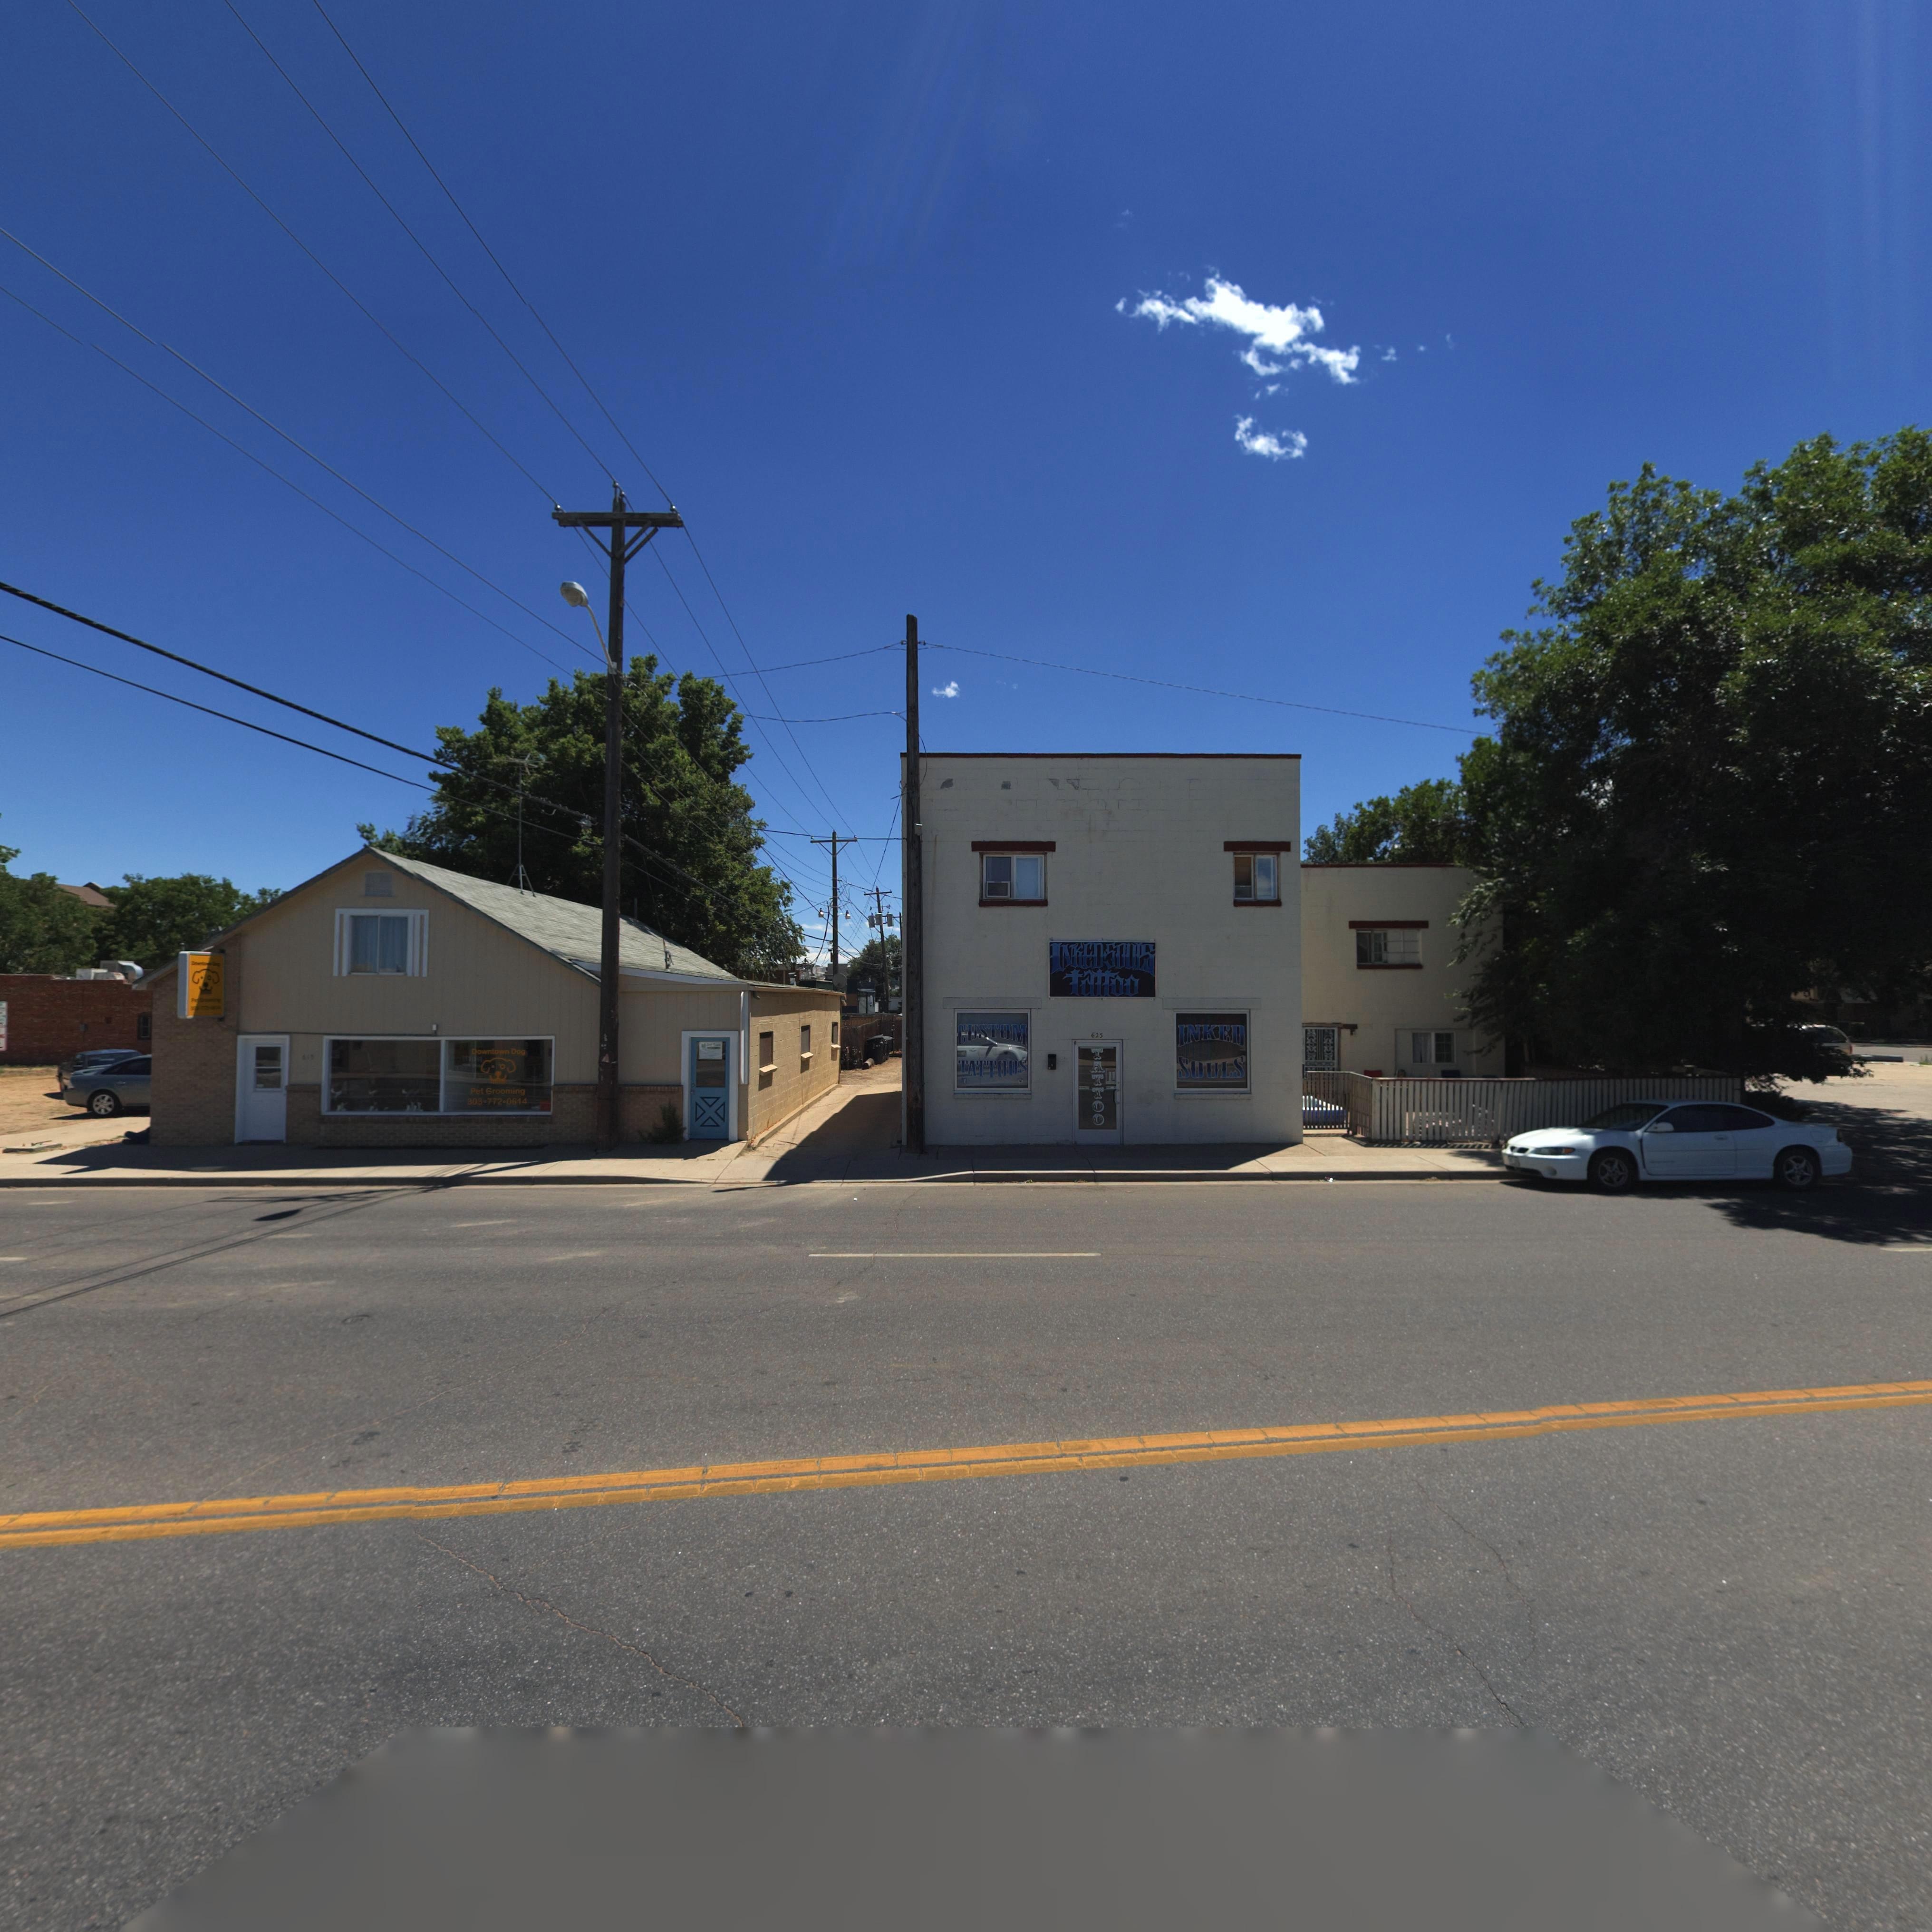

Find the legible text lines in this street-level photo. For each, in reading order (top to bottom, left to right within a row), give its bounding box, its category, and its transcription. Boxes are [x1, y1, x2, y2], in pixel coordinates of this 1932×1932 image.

[191, 960, 220, 967] BusinessName: Dow*tow* Dog
[1049, 941, 1156, 977] BusinessName: INKEDSOULS
[1063, 968, 1140, 997] BusinessName: tattoo
[191, 996, 221, 1004] BusinessName: Pe* G******g
[1091, 1032, 1103, 1038] StreetNumber: 625
[1177, 1024, 1245, 1048] BusinessName: INKED
[471, 1047, 526, 1056] BusinessName: Downtown Dog
[301, 1053, 315, 1061] StreetNumber: 615
[1177, 1054, 1246, 1079] BusinessName: SOULS
[470, 1086, 525, 1096] BusinessName: Pet Grooming